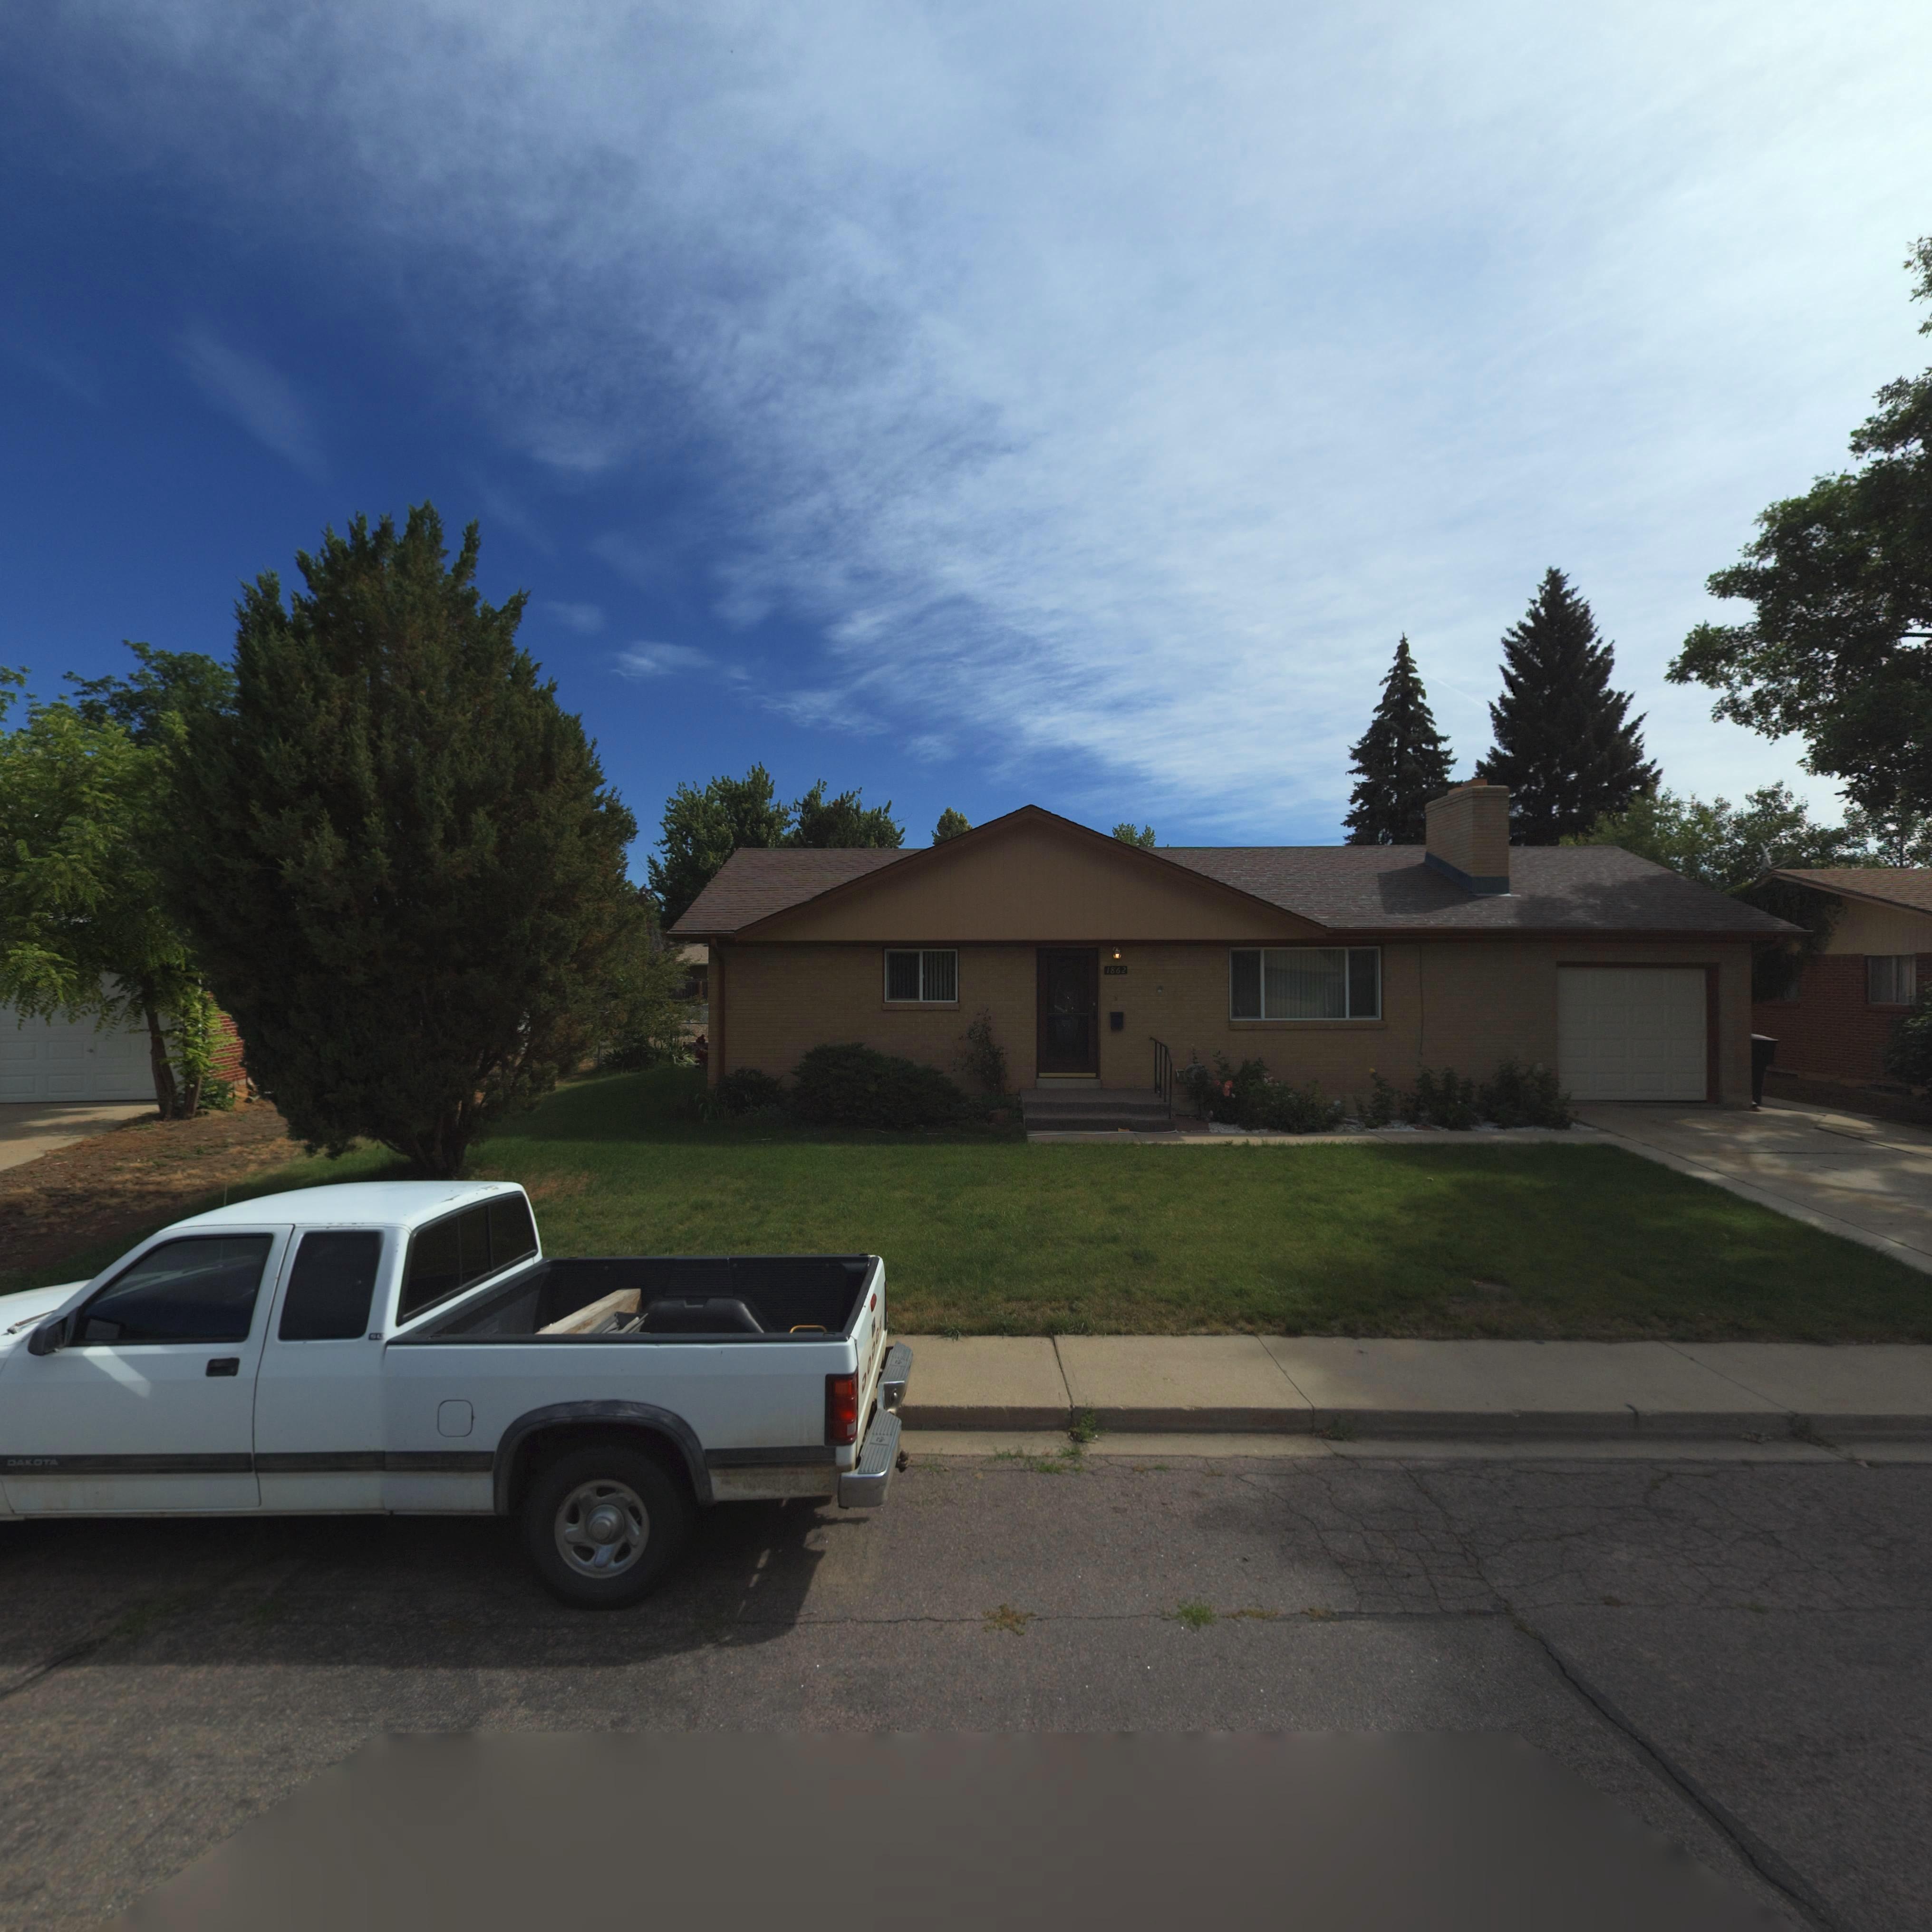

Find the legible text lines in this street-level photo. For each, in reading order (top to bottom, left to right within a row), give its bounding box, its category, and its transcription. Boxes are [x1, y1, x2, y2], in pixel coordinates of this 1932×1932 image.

[1107, 966, 1126, 974] StreetNumber: 1862